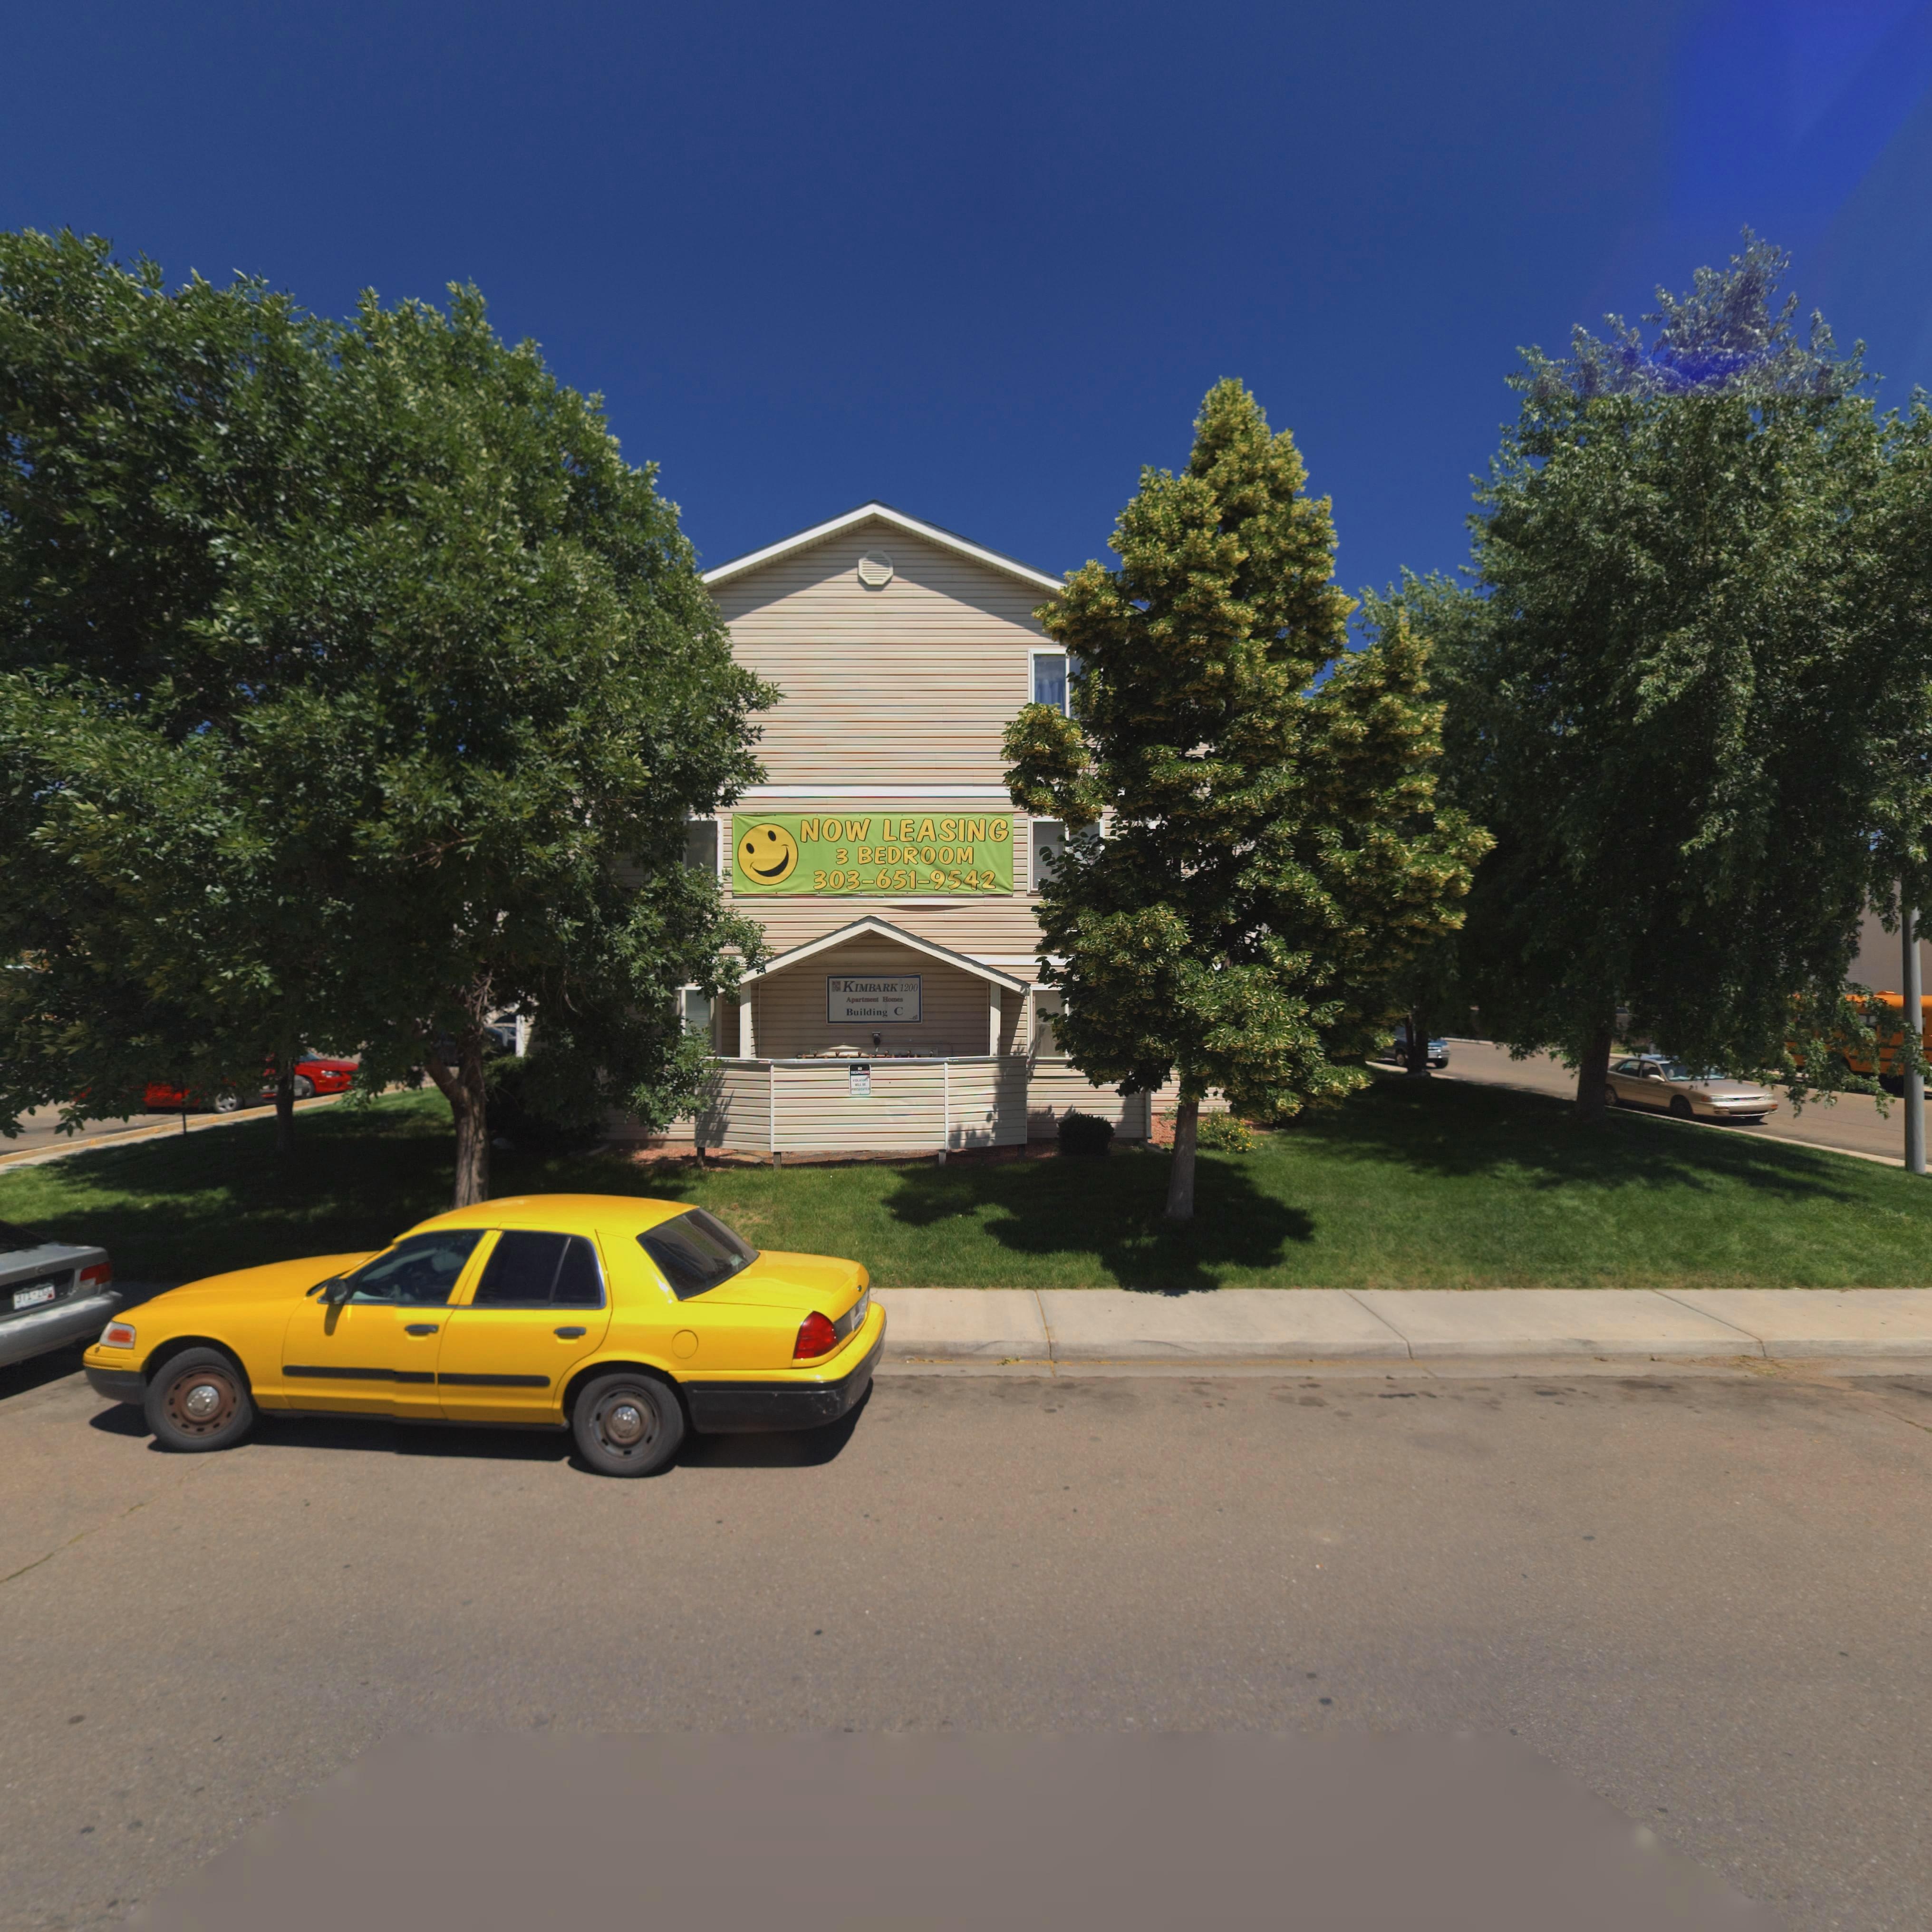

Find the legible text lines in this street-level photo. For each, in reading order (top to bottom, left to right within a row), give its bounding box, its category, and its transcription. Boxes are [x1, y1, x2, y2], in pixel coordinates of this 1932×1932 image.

[841, 980, 898, 992] StreetName: KIMBARK
[841, 980, 918, 992] BusinessName: KIMBARK 1200
[899, 983, 918, 992] StreetNumber: 1200
[845, 996, 903, 1004] BusinessName: Apartment Homes